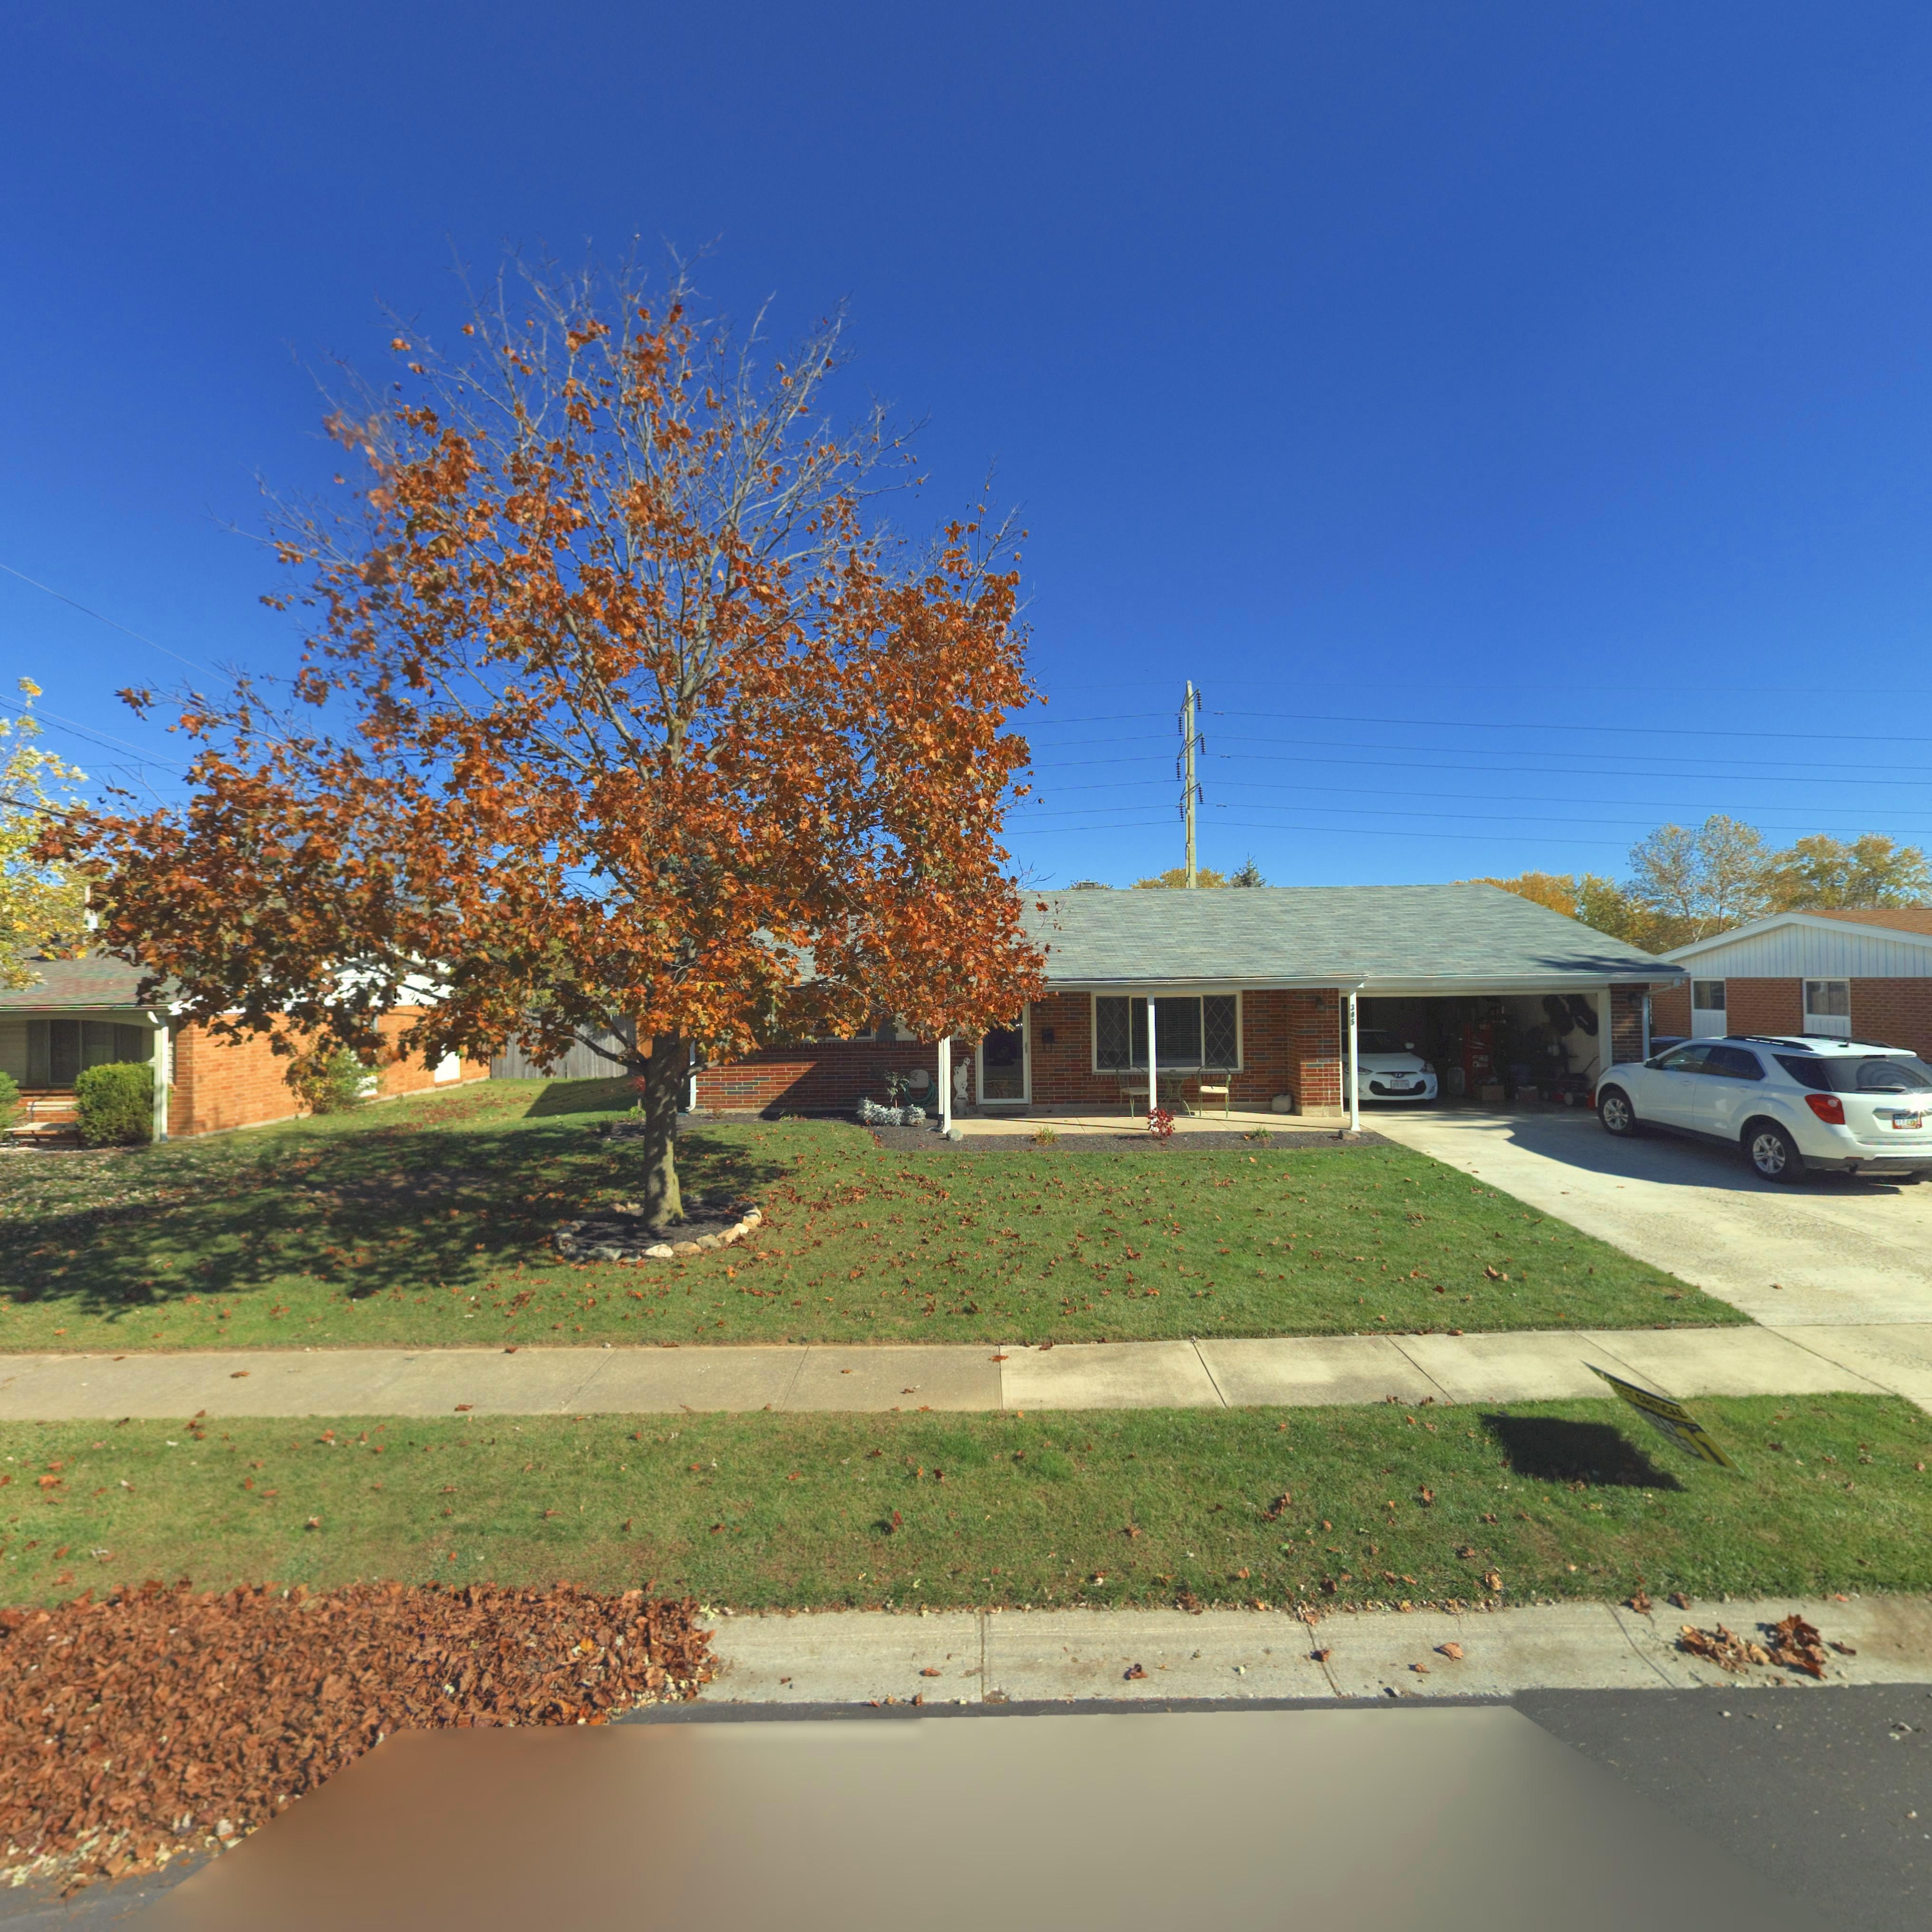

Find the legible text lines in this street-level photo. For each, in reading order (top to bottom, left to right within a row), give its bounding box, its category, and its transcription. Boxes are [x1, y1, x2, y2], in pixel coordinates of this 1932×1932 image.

[1350, 1004, 1355, 1026] StreetNumber: 305